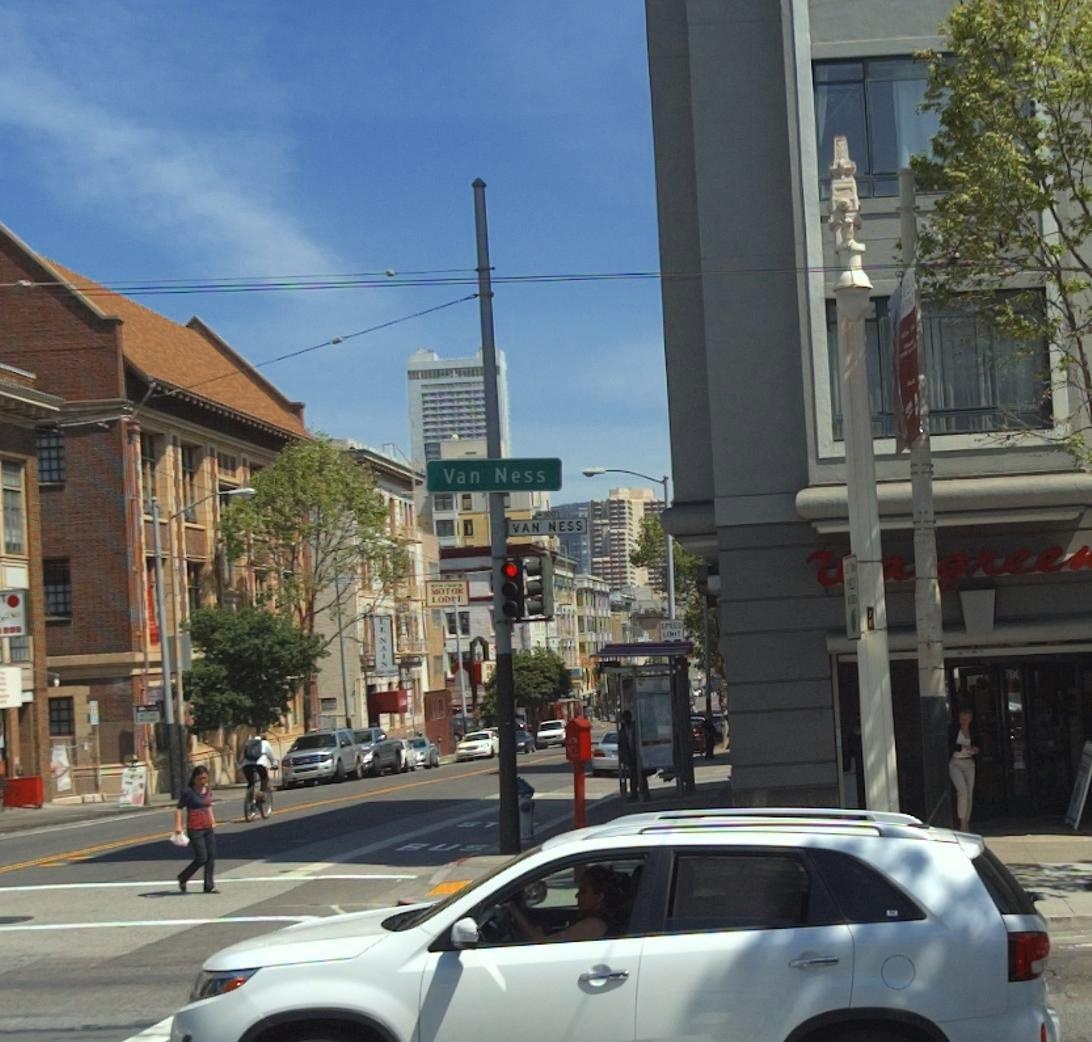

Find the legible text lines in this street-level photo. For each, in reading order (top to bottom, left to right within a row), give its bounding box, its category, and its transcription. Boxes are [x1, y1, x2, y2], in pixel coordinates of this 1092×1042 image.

[439, 465, 548, 485] StreetName: Van Ness
[512, 518, 584, 535] StreetName: VAN NESS
[935, 544, 1069, 597] BusinessName: gree
[430, 587, 464, 596] BusinessName: MOTO*
[430, 596, 452, 604] BusinessName: LOD
[660, 621, 682, 630] None: SPEED
[661, 629, 681, 639] None: LIMIT
[391, 839, 492, 854] None: BUS